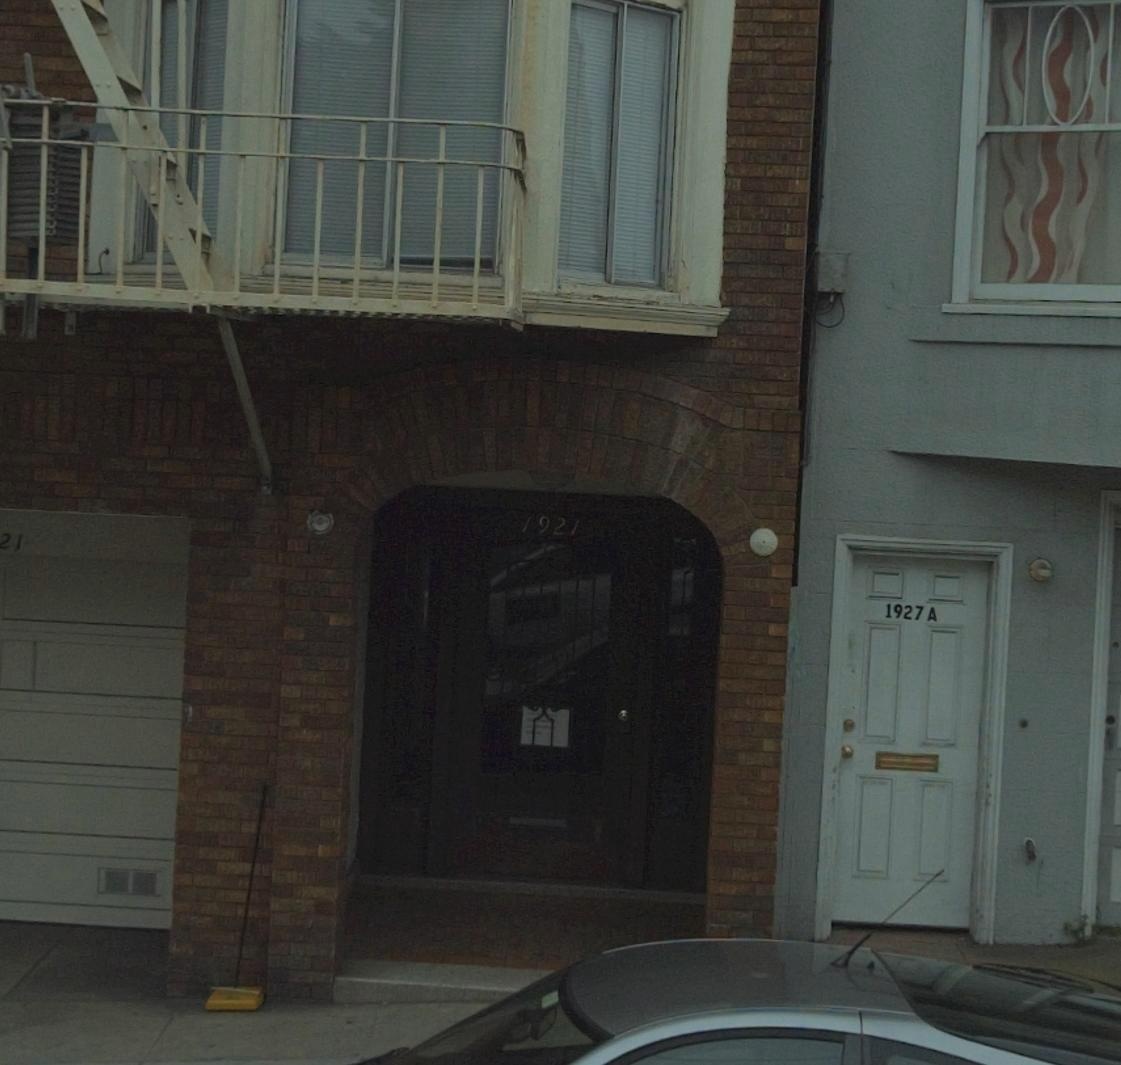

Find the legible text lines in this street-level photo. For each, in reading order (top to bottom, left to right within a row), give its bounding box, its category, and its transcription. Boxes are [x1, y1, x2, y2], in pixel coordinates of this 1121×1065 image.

[520, 514, 580, 539] StreetNumber: 1921
[883, 601, 939, 624] StreetNumber: 1927 A